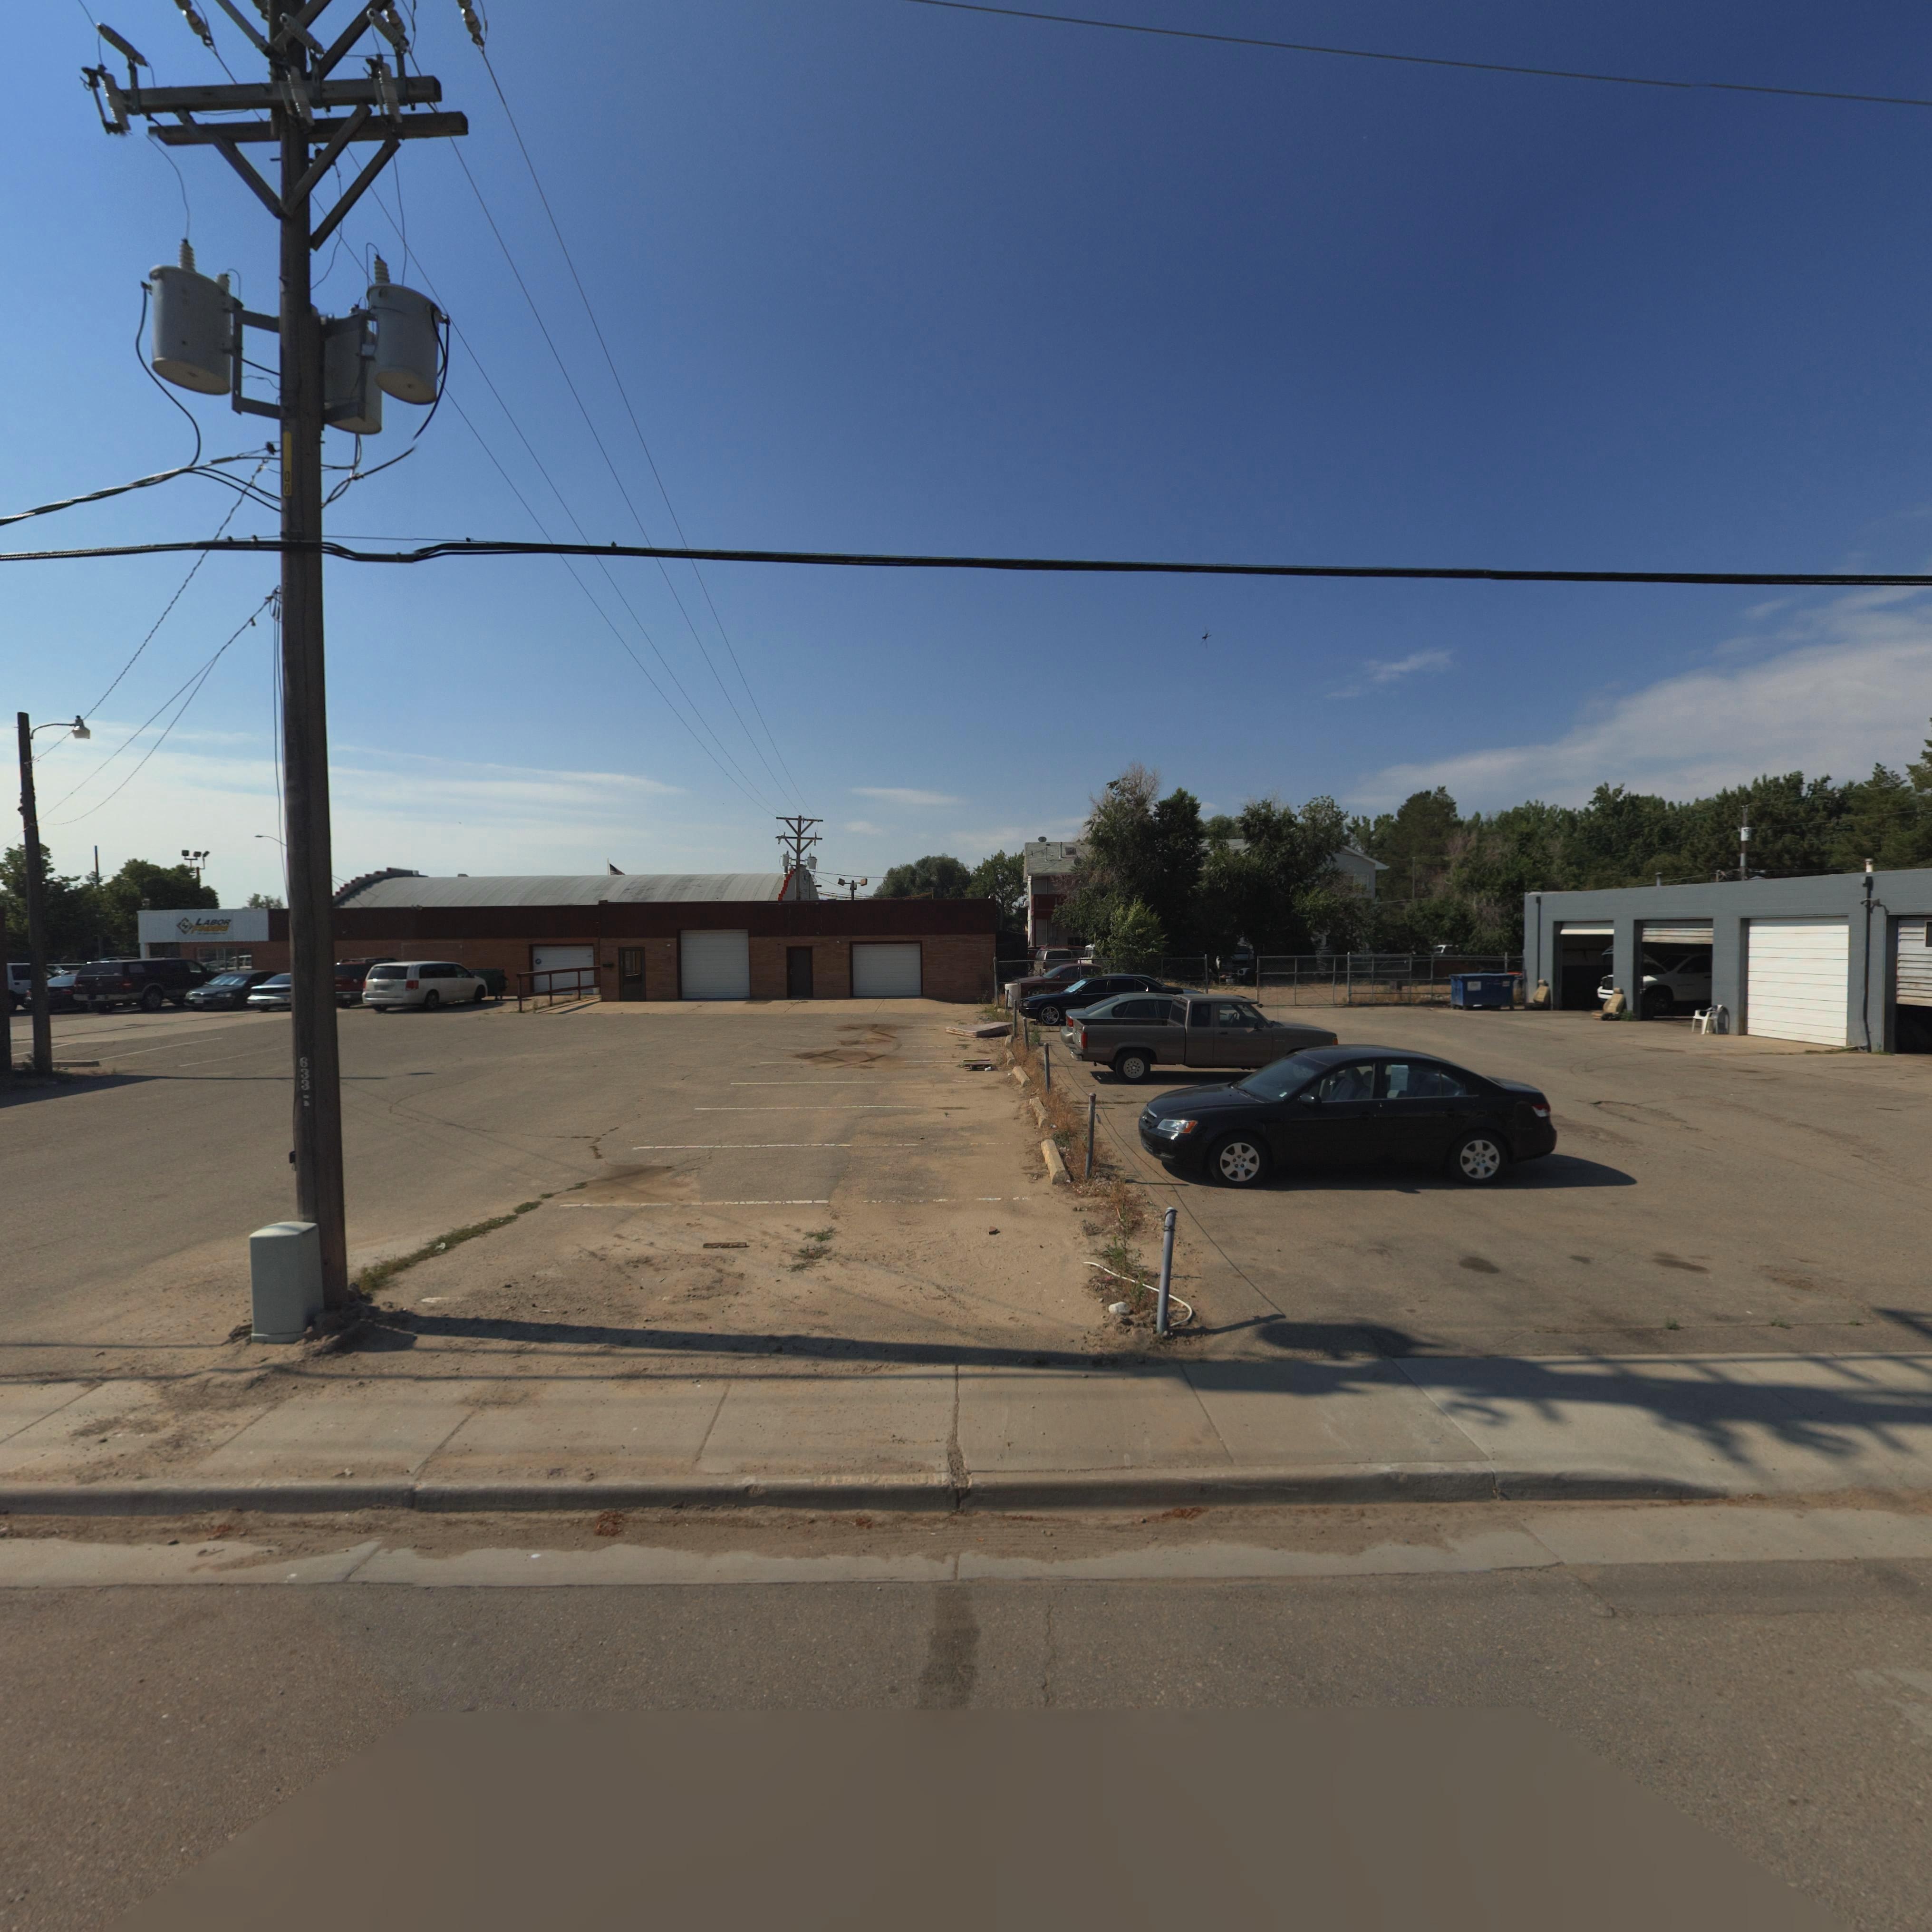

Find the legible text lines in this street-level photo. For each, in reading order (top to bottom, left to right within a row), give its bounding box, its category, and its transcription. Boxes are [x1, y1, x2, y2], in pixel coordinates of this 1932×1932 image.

[195, 918, 232, 926] BusinessName: LABOR
[190, 925, 229, 934] BusinessName: F*****S